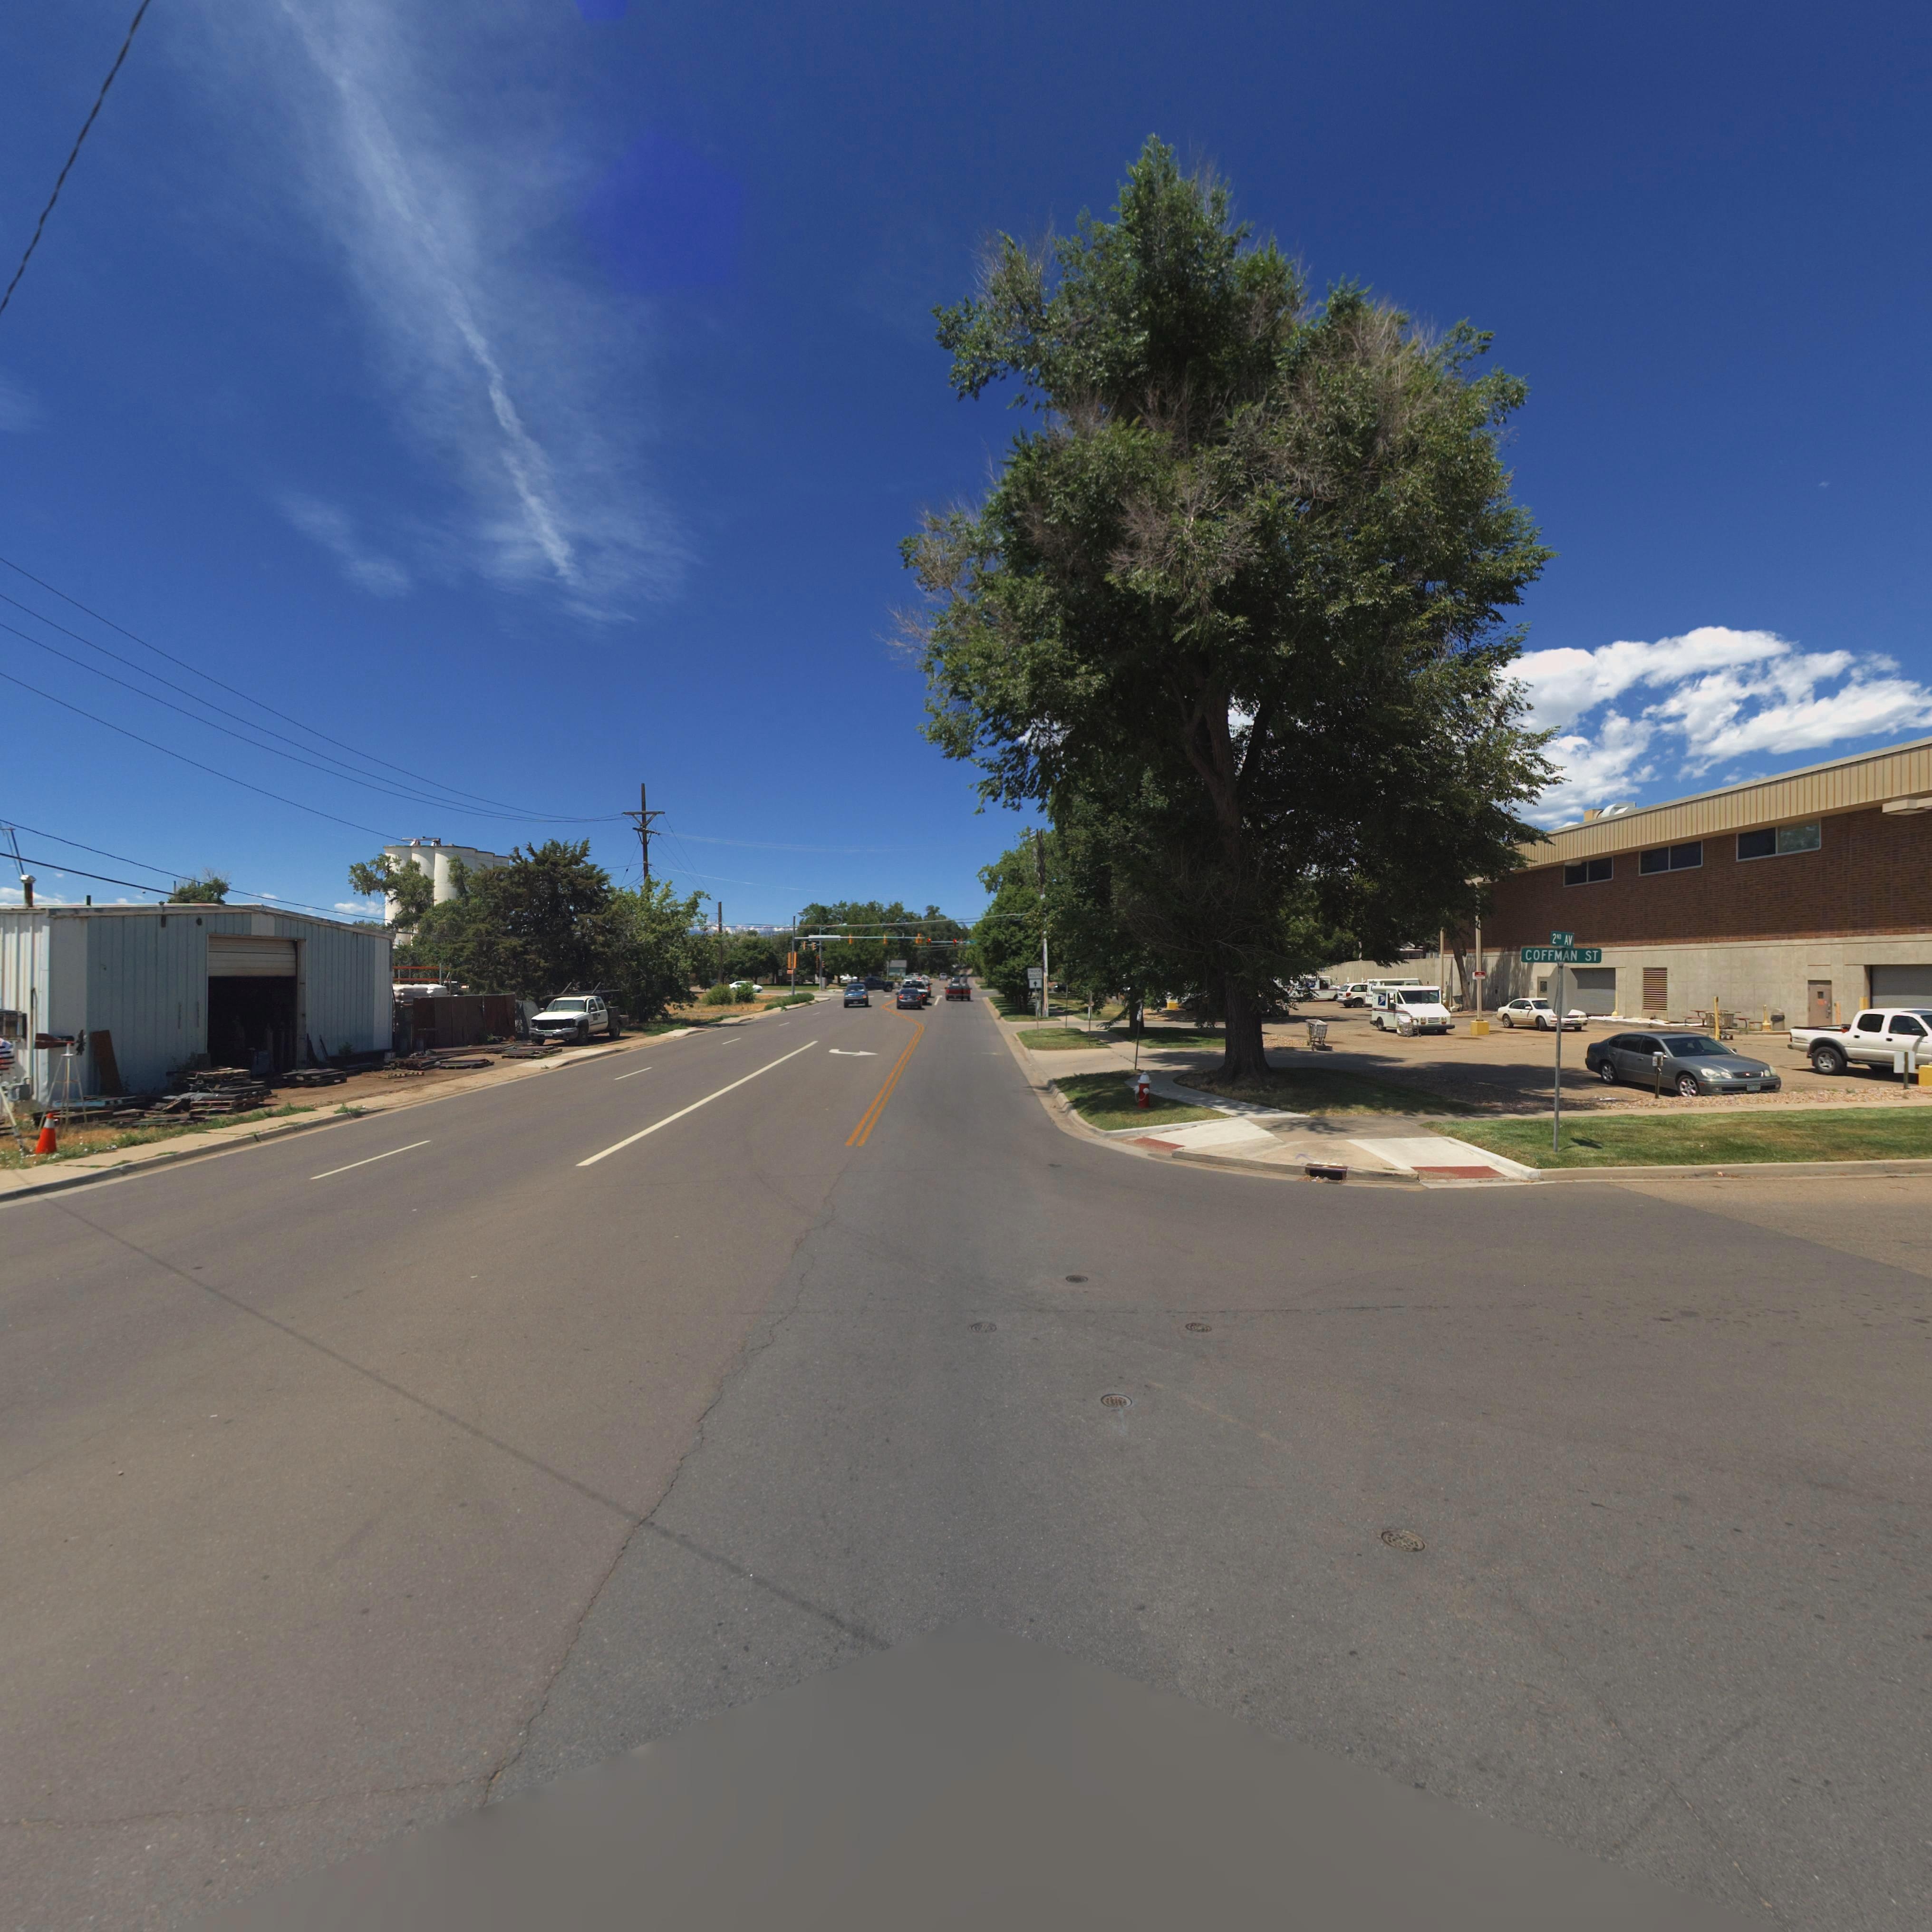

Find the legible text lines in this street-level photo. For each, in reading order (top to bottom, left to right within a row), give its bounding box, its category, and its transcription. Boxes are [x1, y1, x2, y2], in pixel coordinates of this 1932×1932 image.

[1551, 932, 1574, 947] StreetName: 2ND AV
[1524, 948, 1599, 962] StreetName: COFFMAN ST